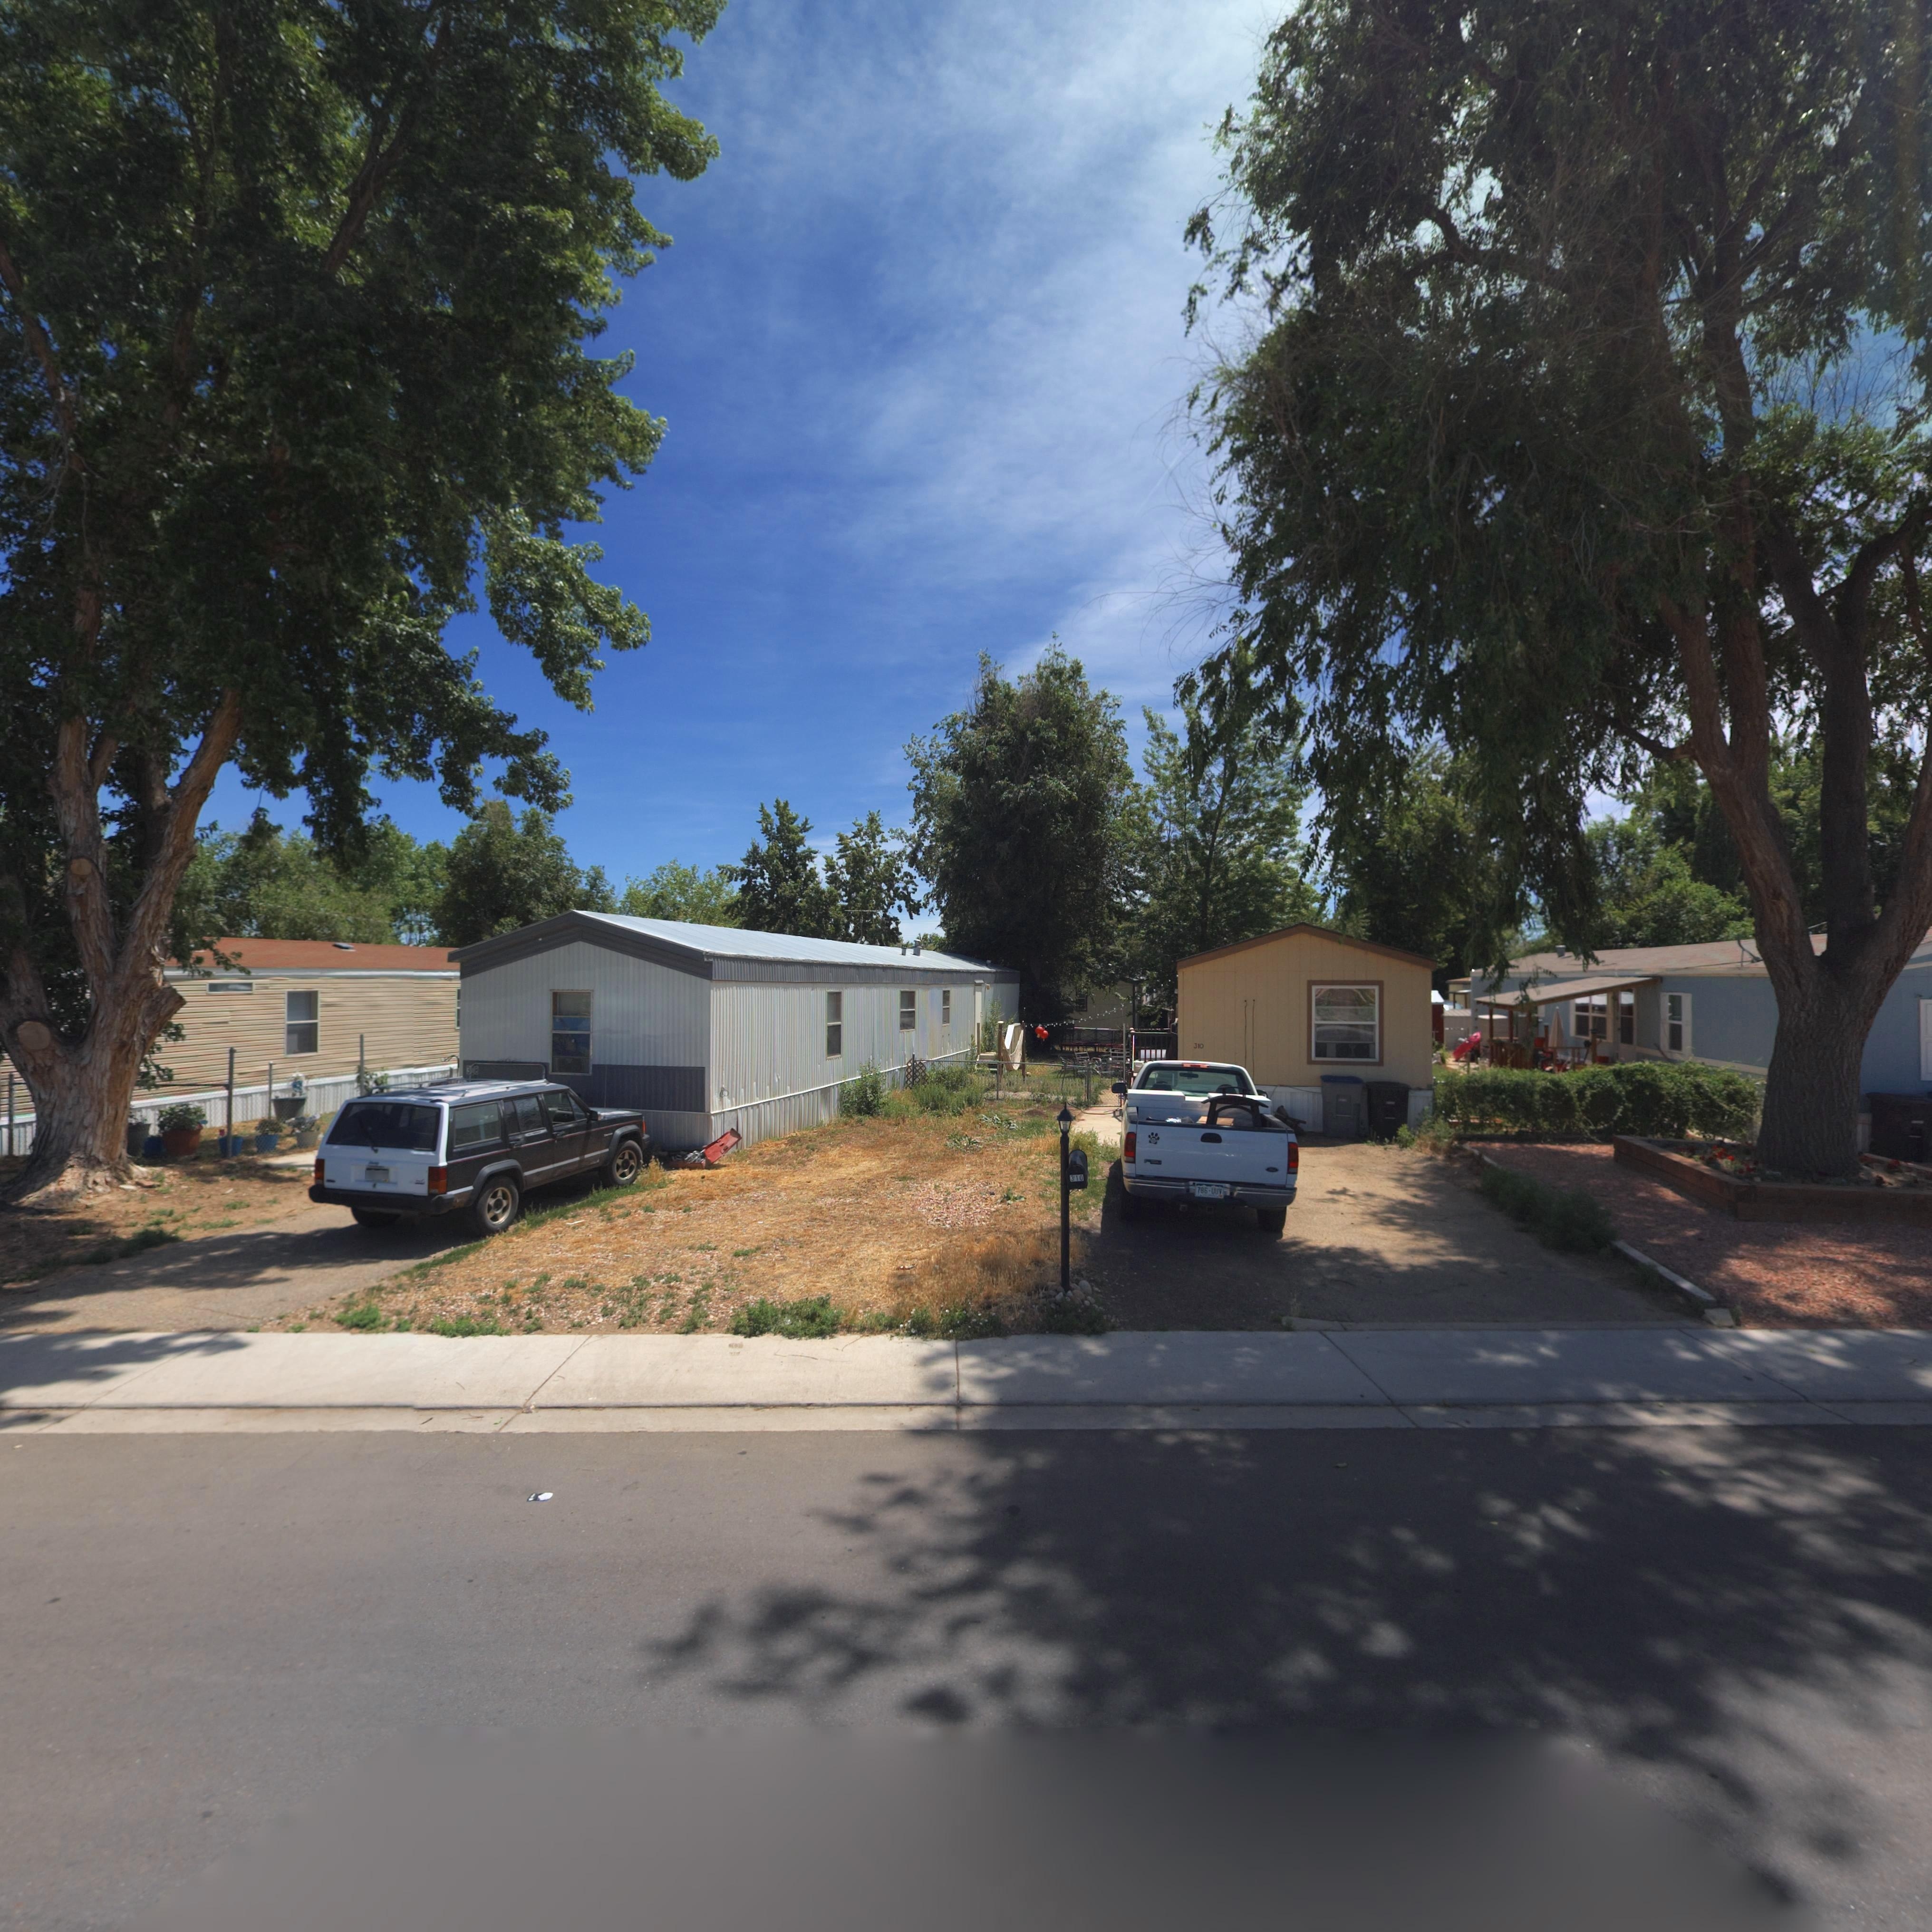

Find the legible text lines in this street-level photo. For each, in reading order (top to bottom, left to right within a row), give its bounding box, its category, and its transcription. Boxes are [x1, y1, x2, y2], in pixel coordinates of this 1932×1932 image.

[1194, 1043, 1204, 1049] StreetNumber: 310
[466, 1065, 479, 1074] StreetNumber: 3*8
[1070, 1174, 1083, 1181] StreetNumber: 310